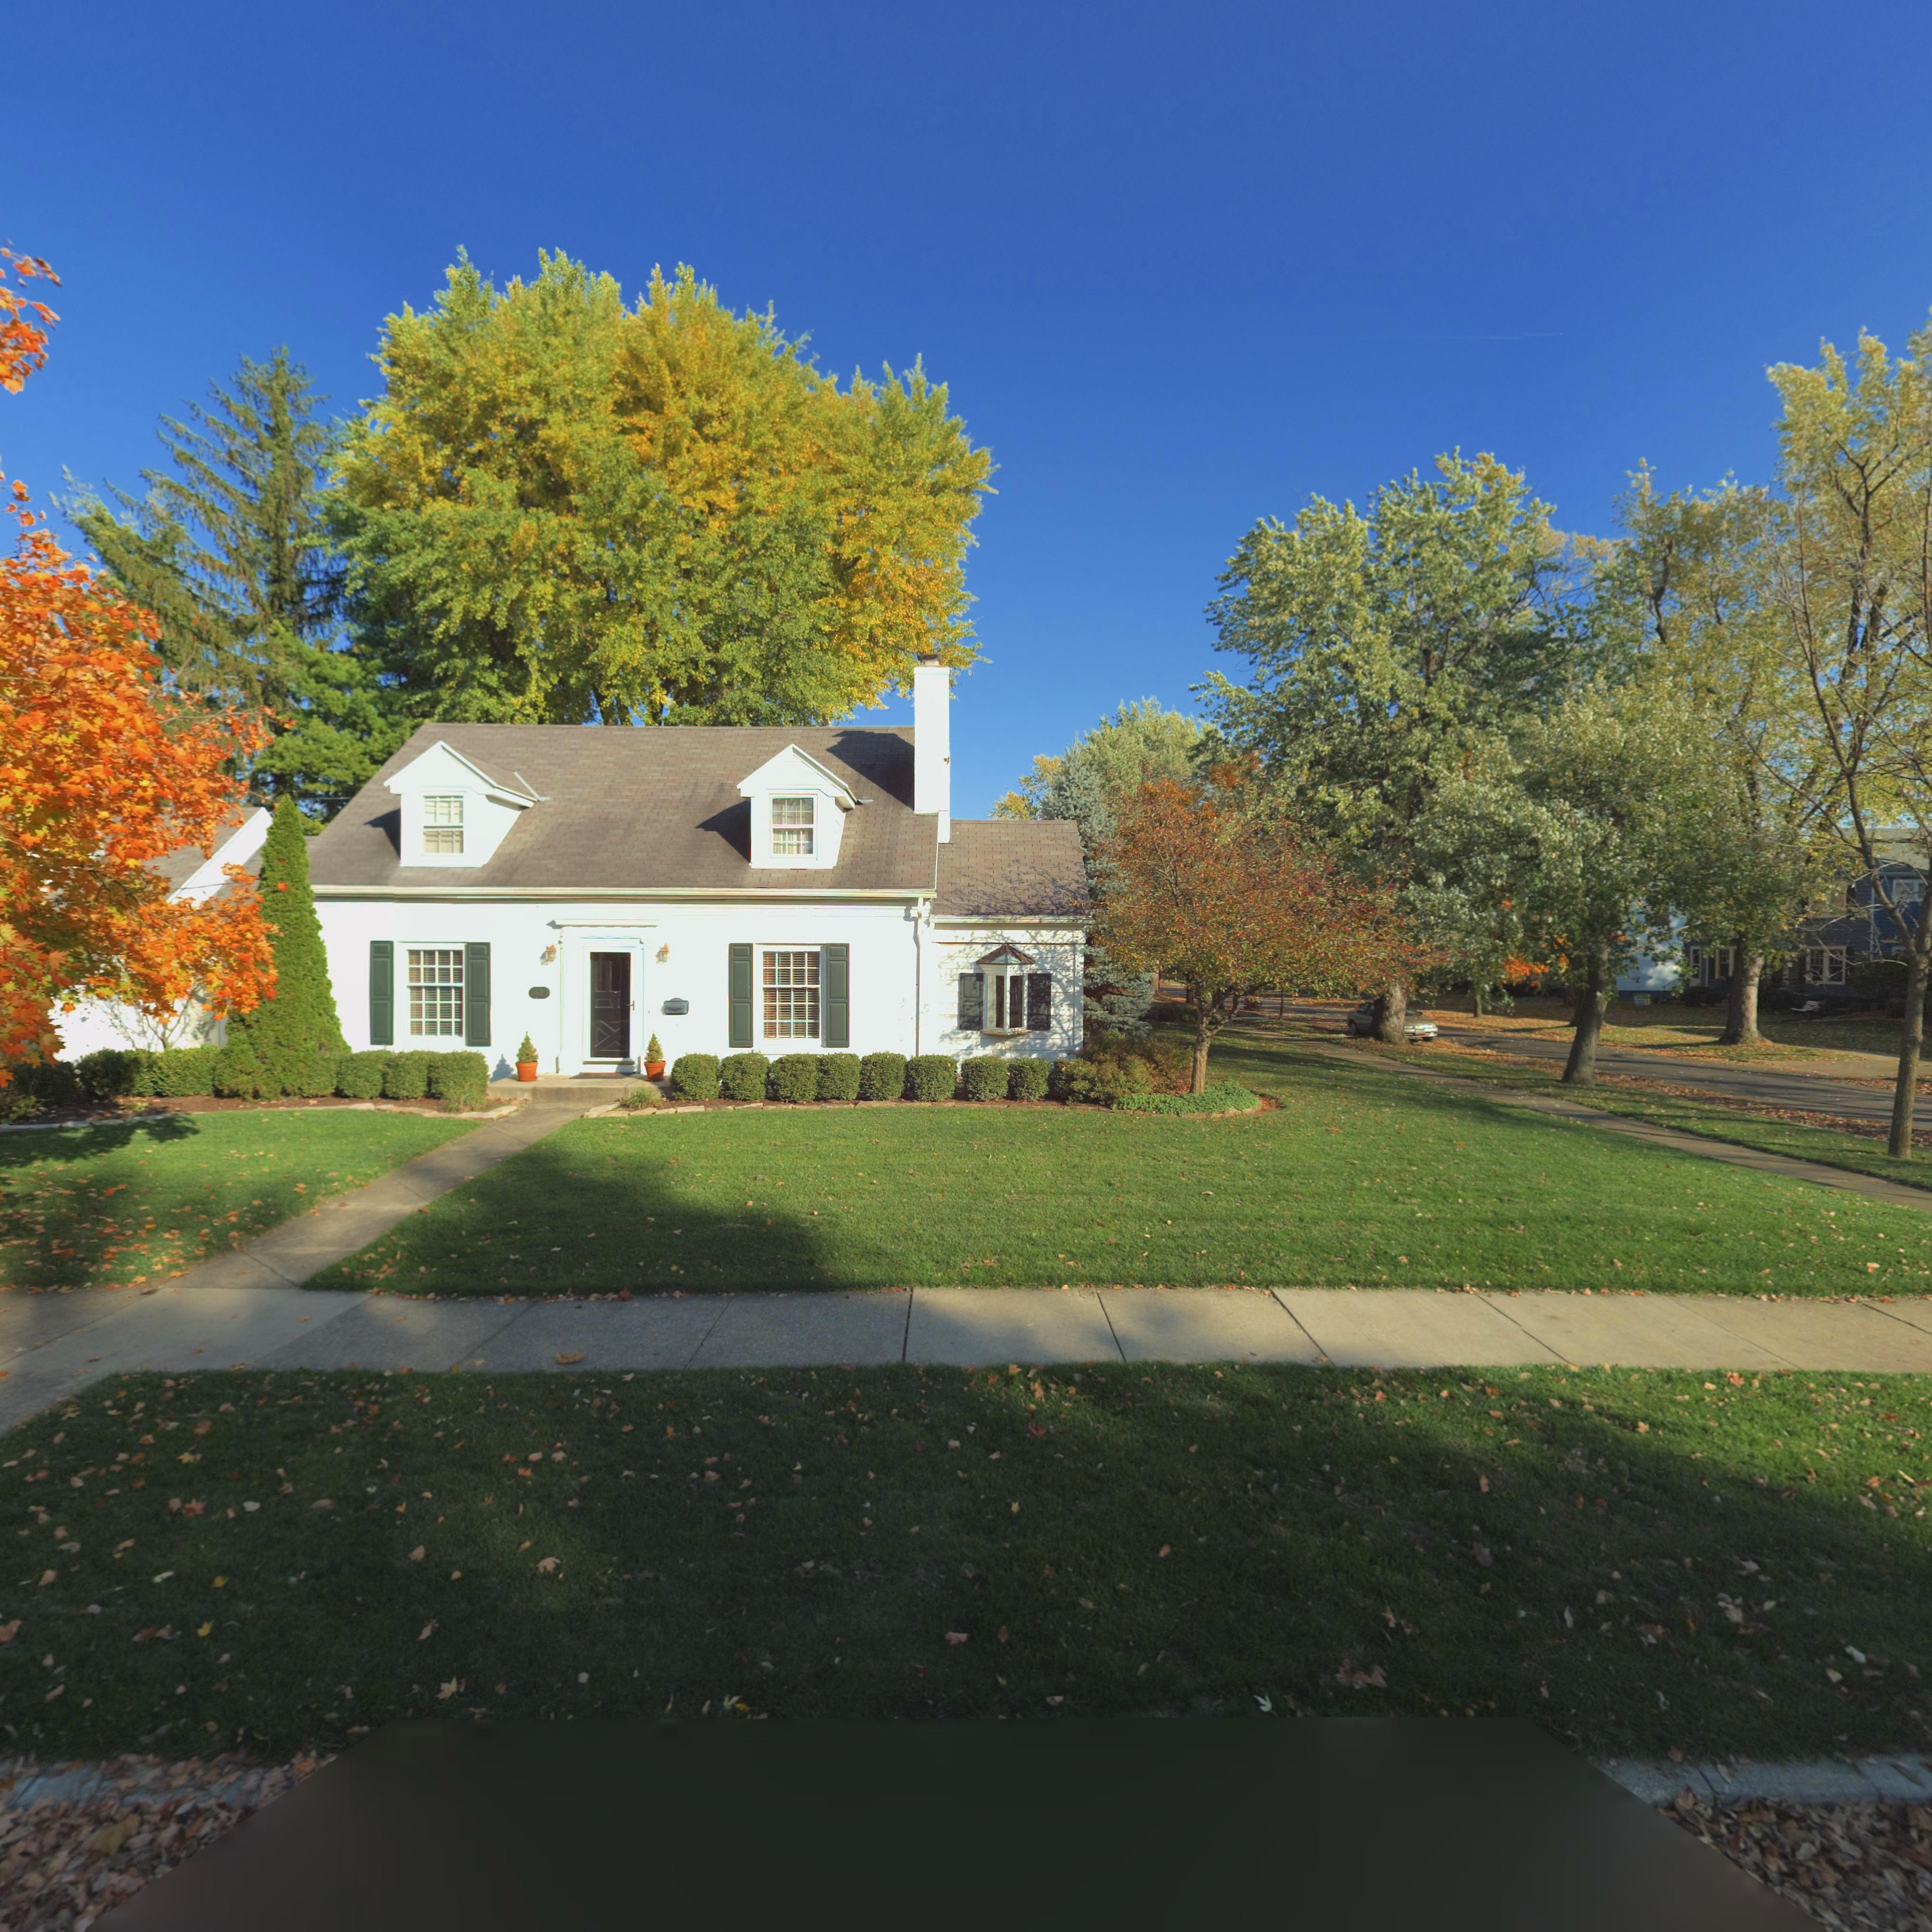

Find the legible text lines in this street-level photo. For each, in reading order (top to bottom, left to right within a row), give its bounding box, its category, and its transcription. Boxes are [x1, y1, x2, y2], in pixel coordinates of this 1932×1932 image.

[530, 988, 549, 995] StreetNumber: 1420